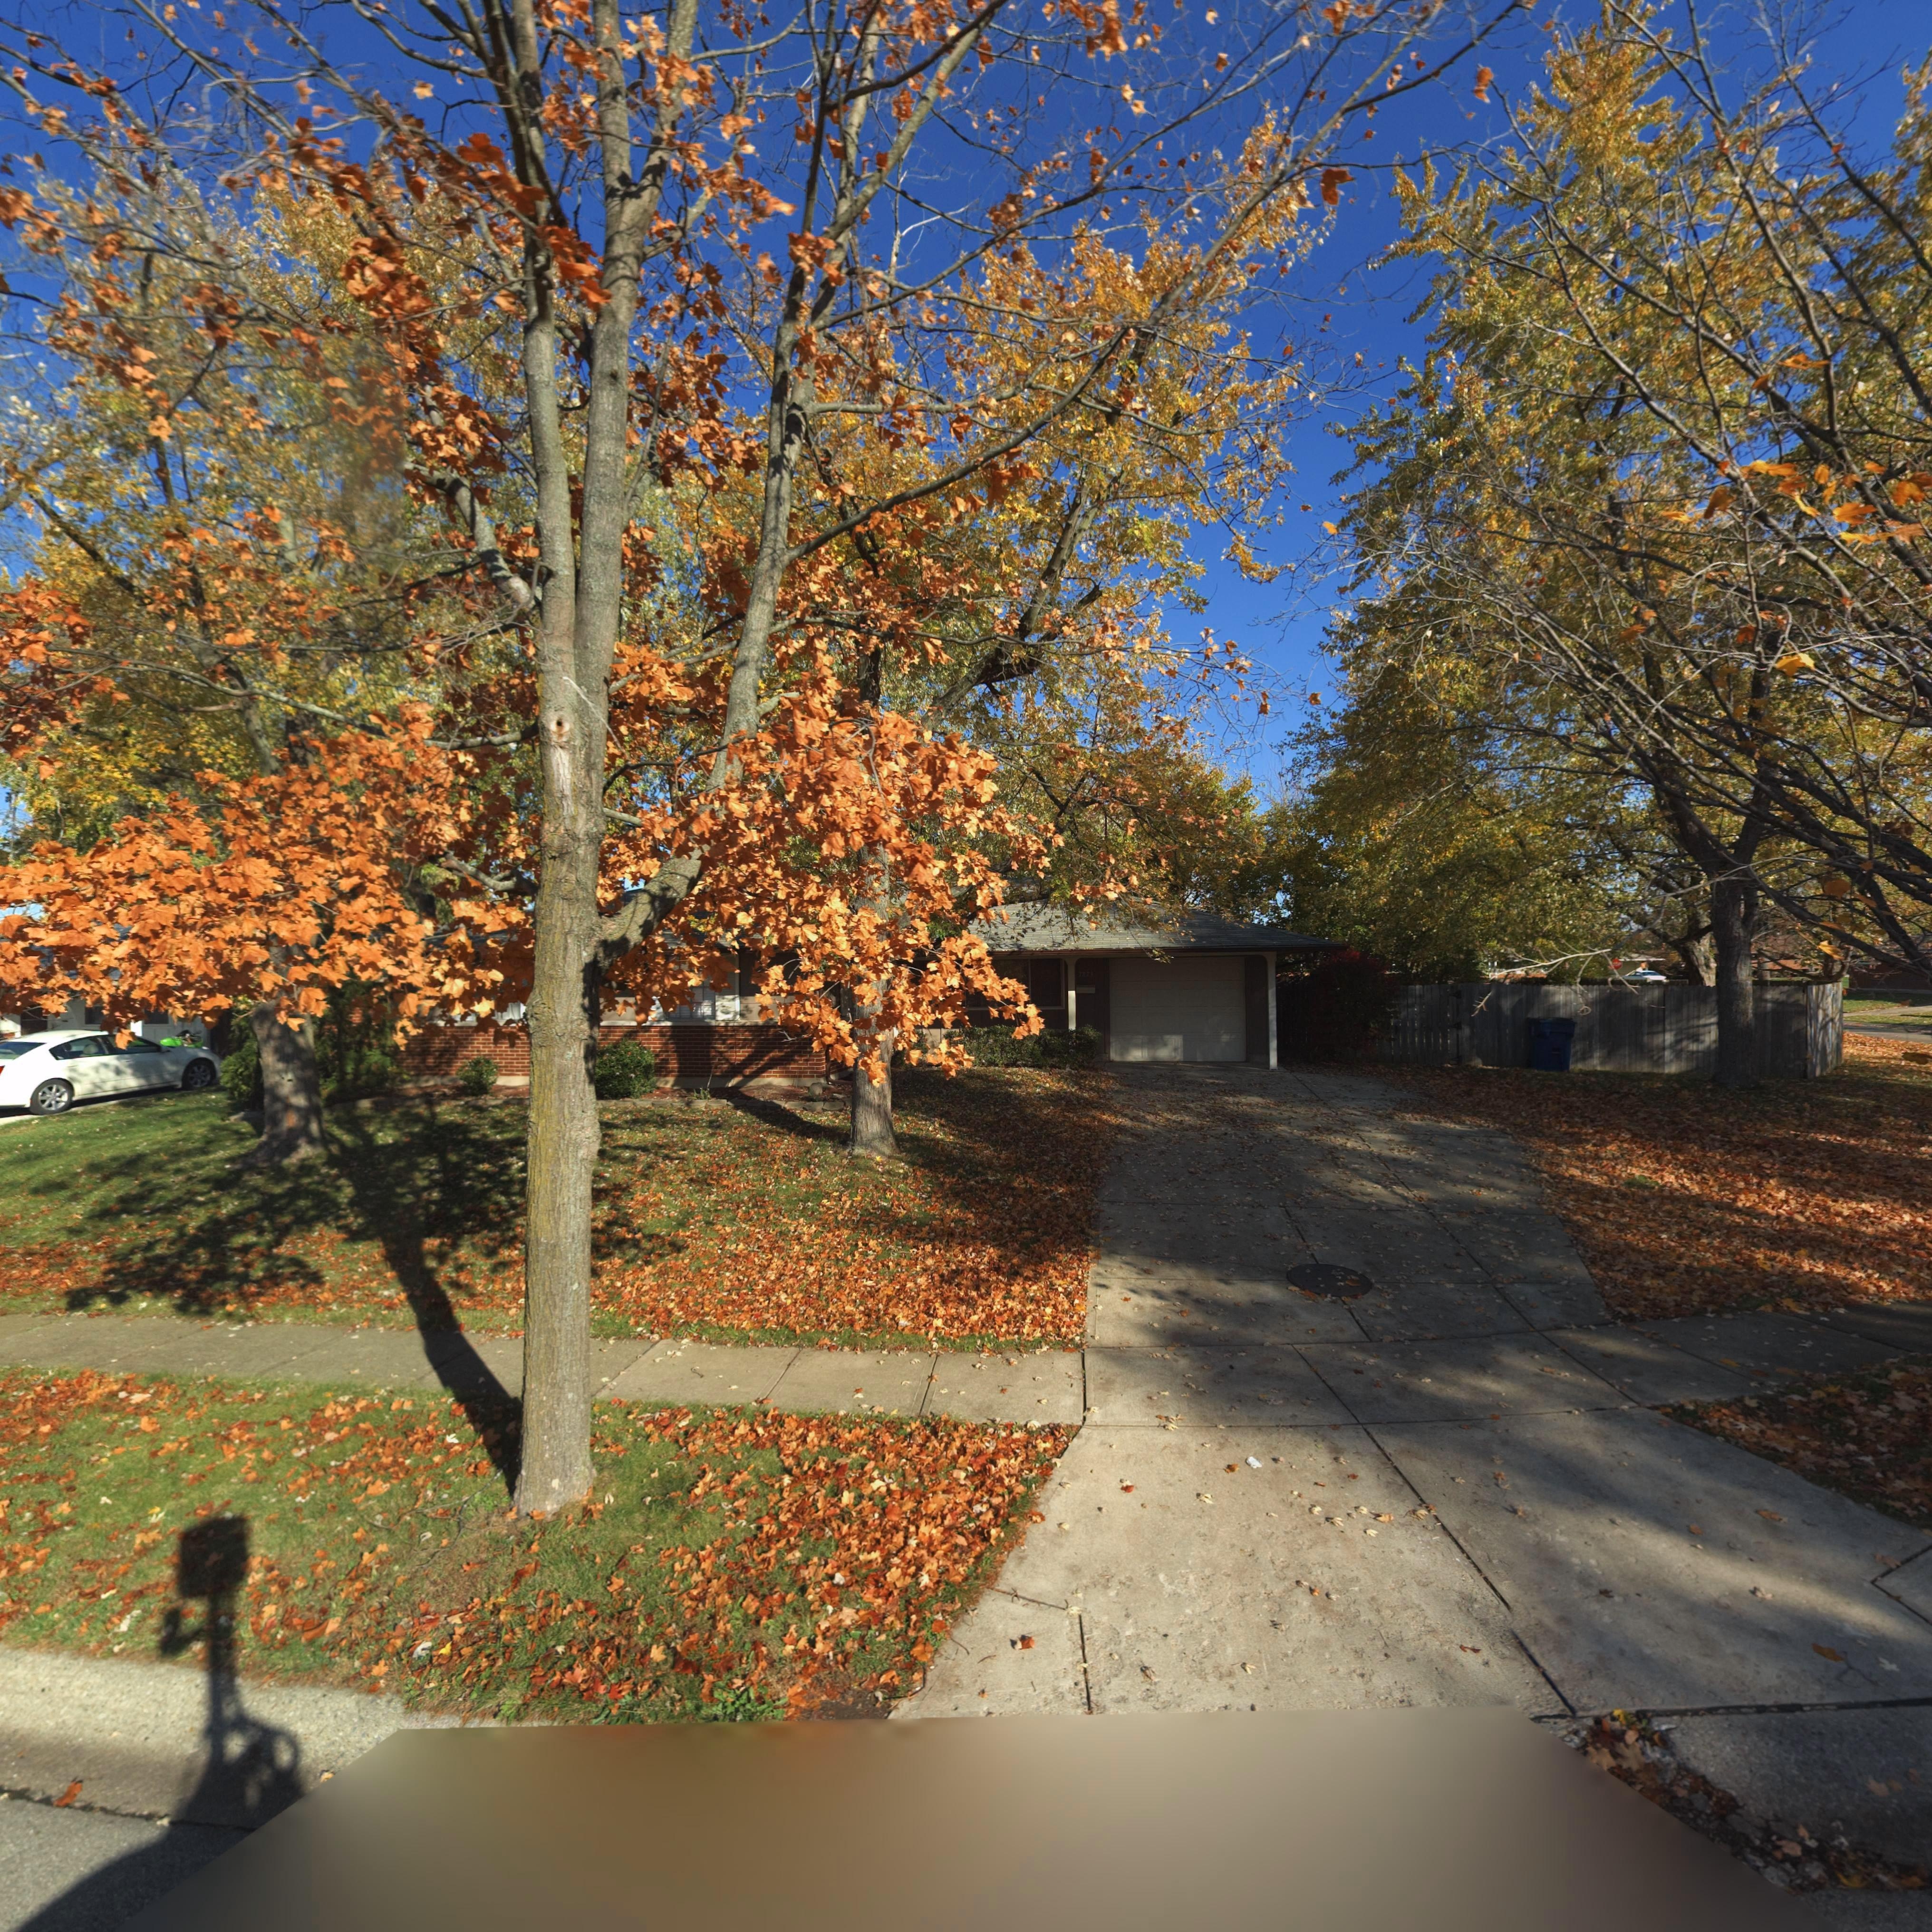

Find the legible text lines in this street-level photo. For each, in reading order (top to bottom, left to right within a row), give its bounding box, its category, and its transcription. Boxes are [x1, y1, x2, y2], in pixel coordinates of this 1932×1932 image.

[1078, 971, 1094, 978] StreetNumber: 7873